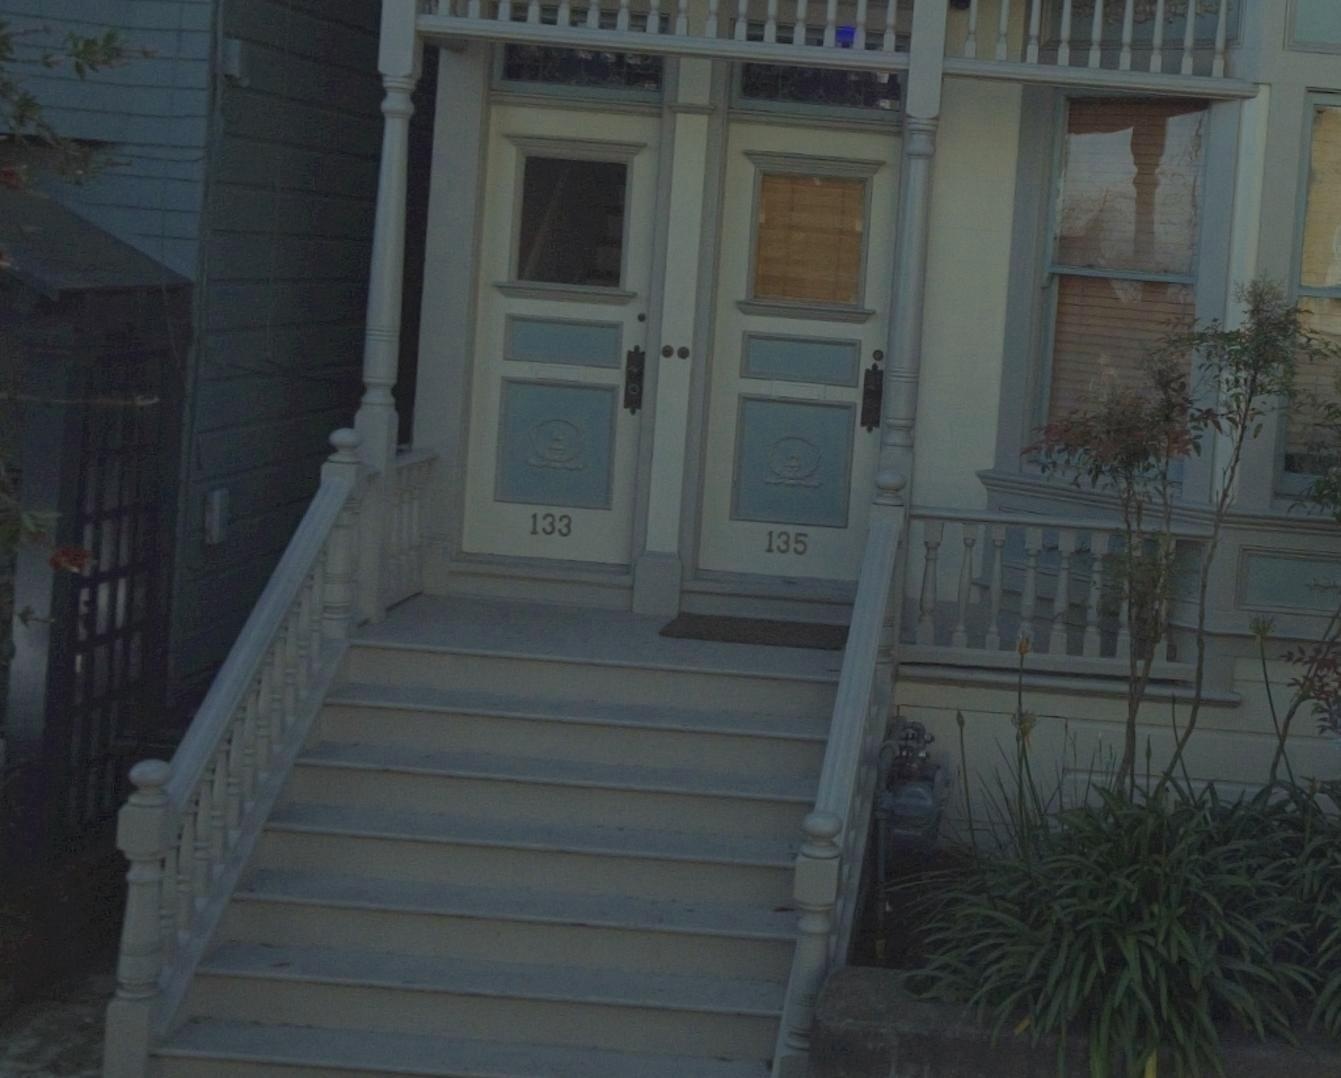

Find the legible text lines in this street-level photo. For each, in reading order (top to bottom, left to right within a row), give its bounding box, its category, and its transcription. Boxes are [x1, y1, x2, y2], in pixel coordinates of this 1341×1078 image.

[527, 510, 574, 540] StreetNumber: 133
[764, 528, 811, 557] StreetNumber: 135